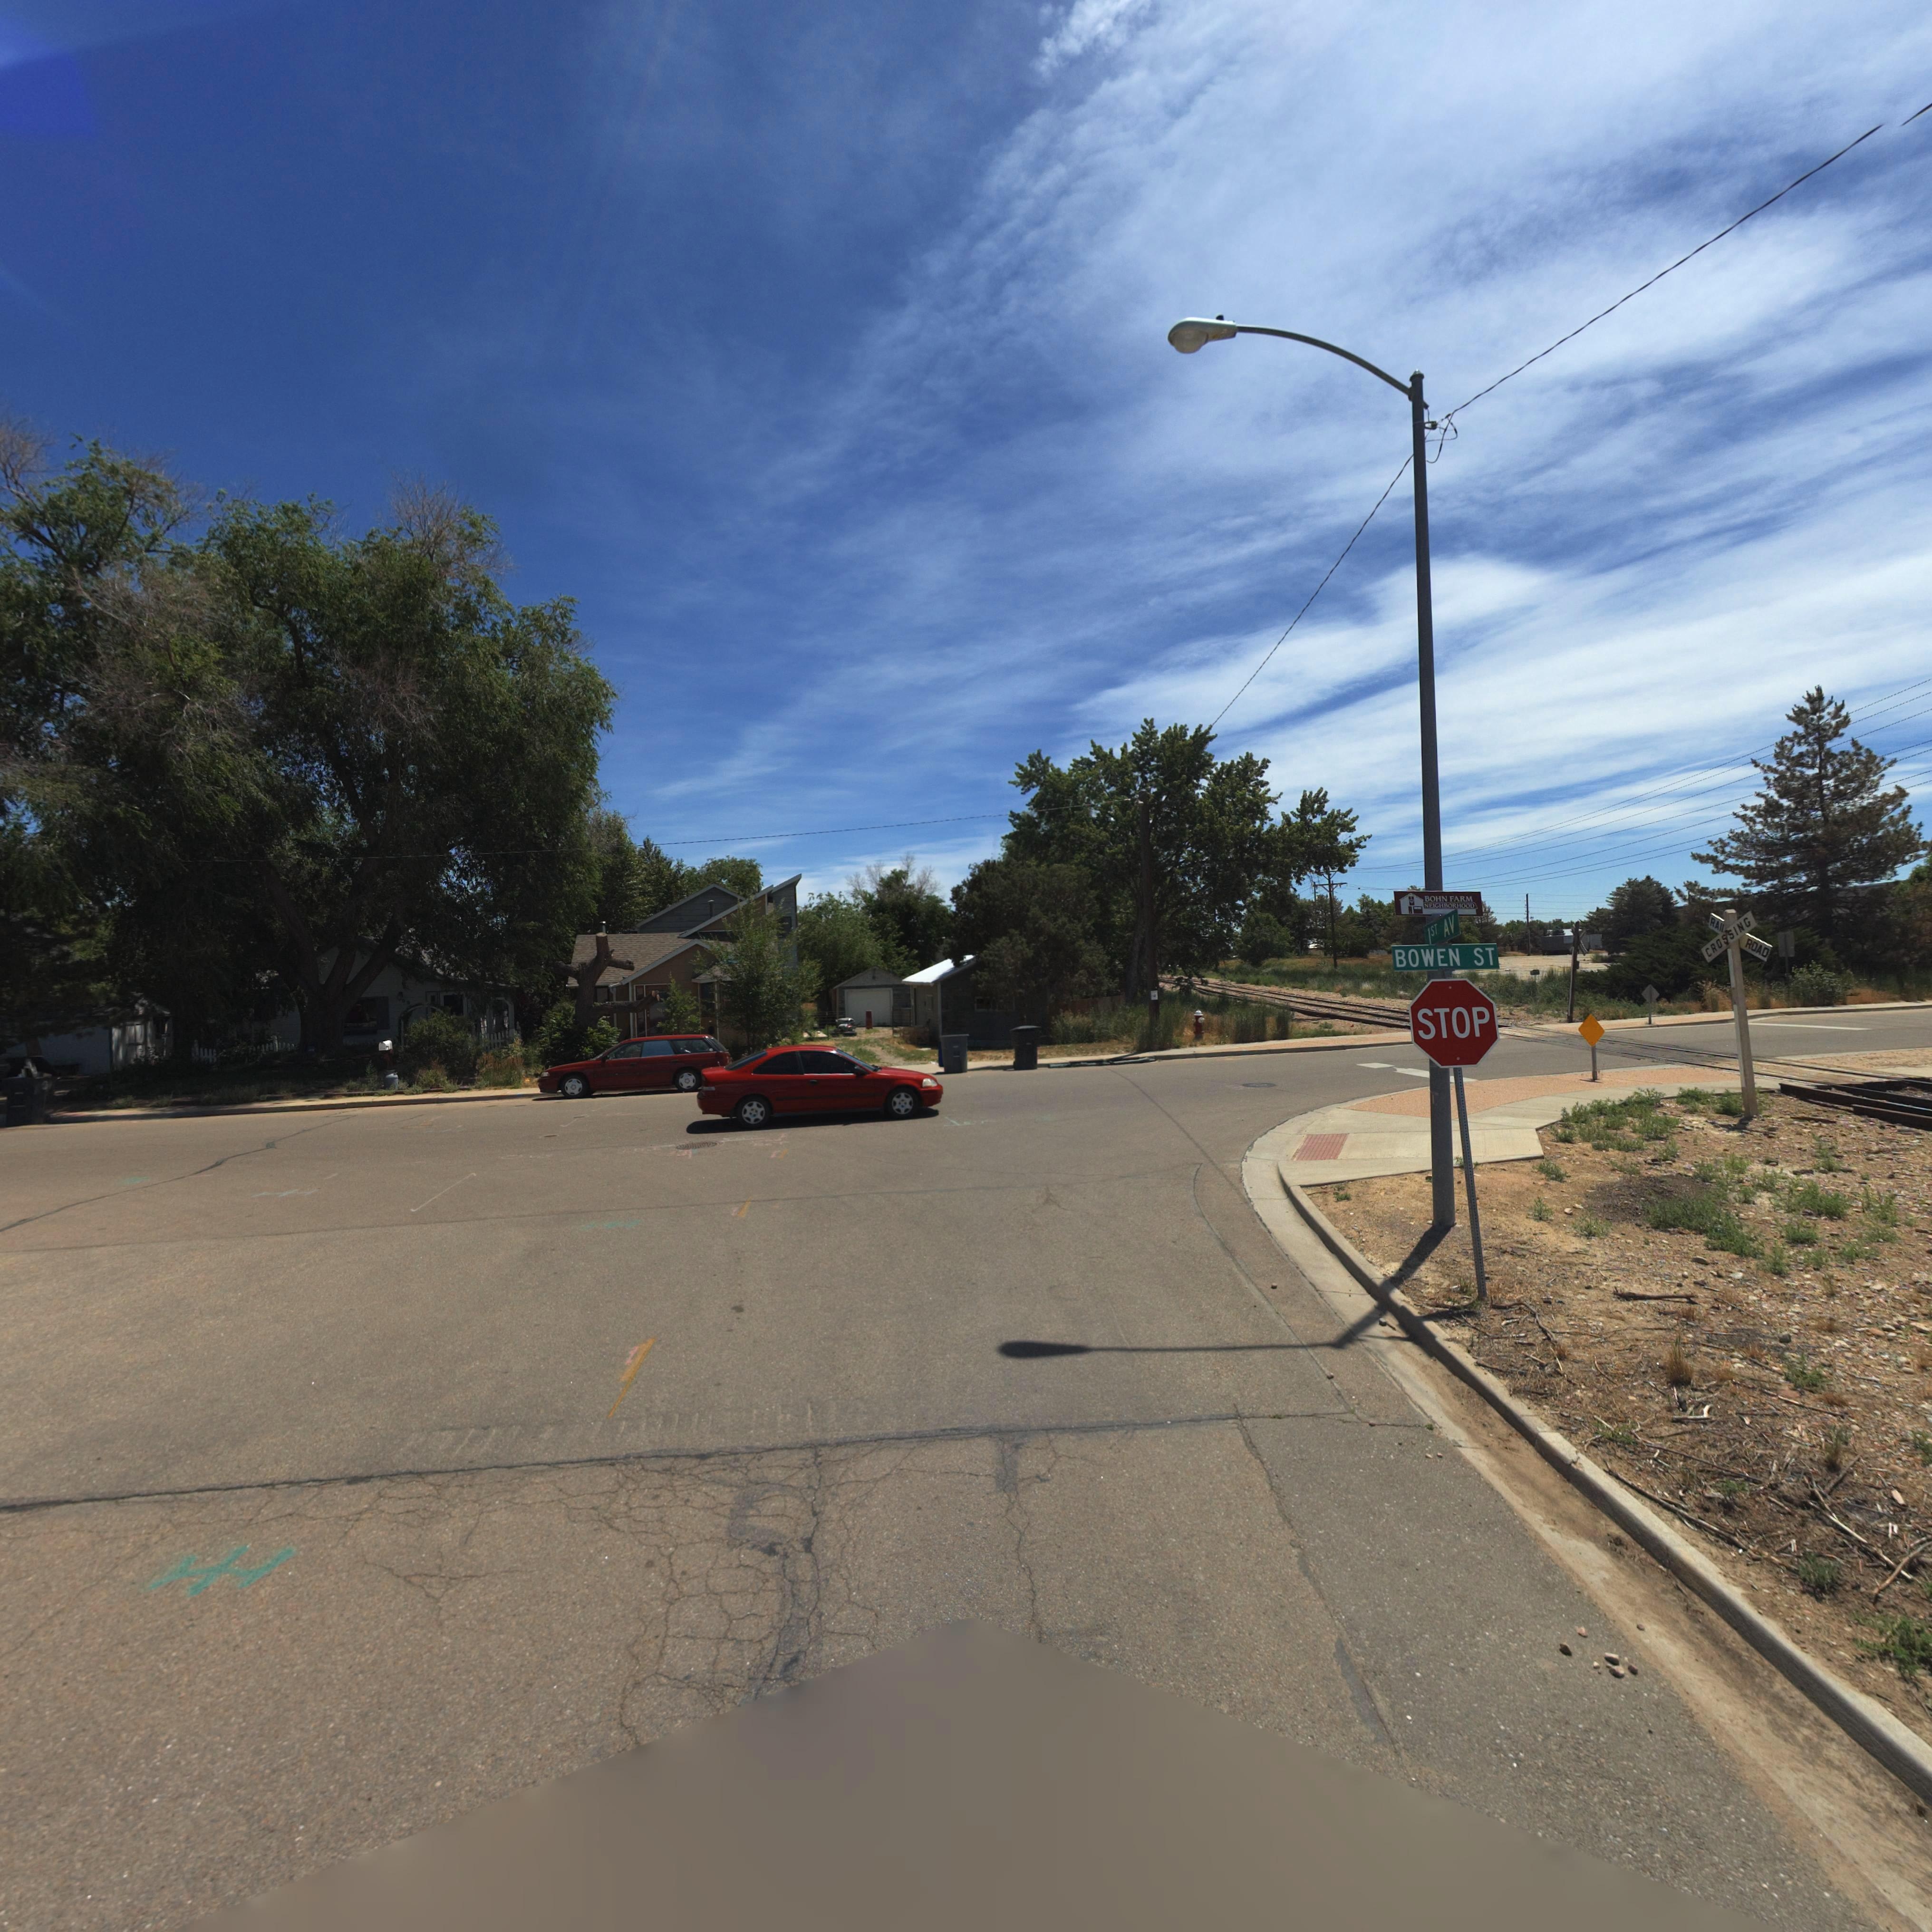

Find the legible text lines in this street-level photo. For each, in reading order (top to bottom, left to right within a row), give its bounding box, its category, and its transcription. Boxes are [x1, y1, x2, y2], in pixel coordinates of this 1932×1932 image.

[1427, 914, 1454, 945] StreetName: 1ST AV
[1394, 947, 1494, 967] StreetName: BOWEN ST
[402, 998, 410, 1005] StreetNumber: 0*